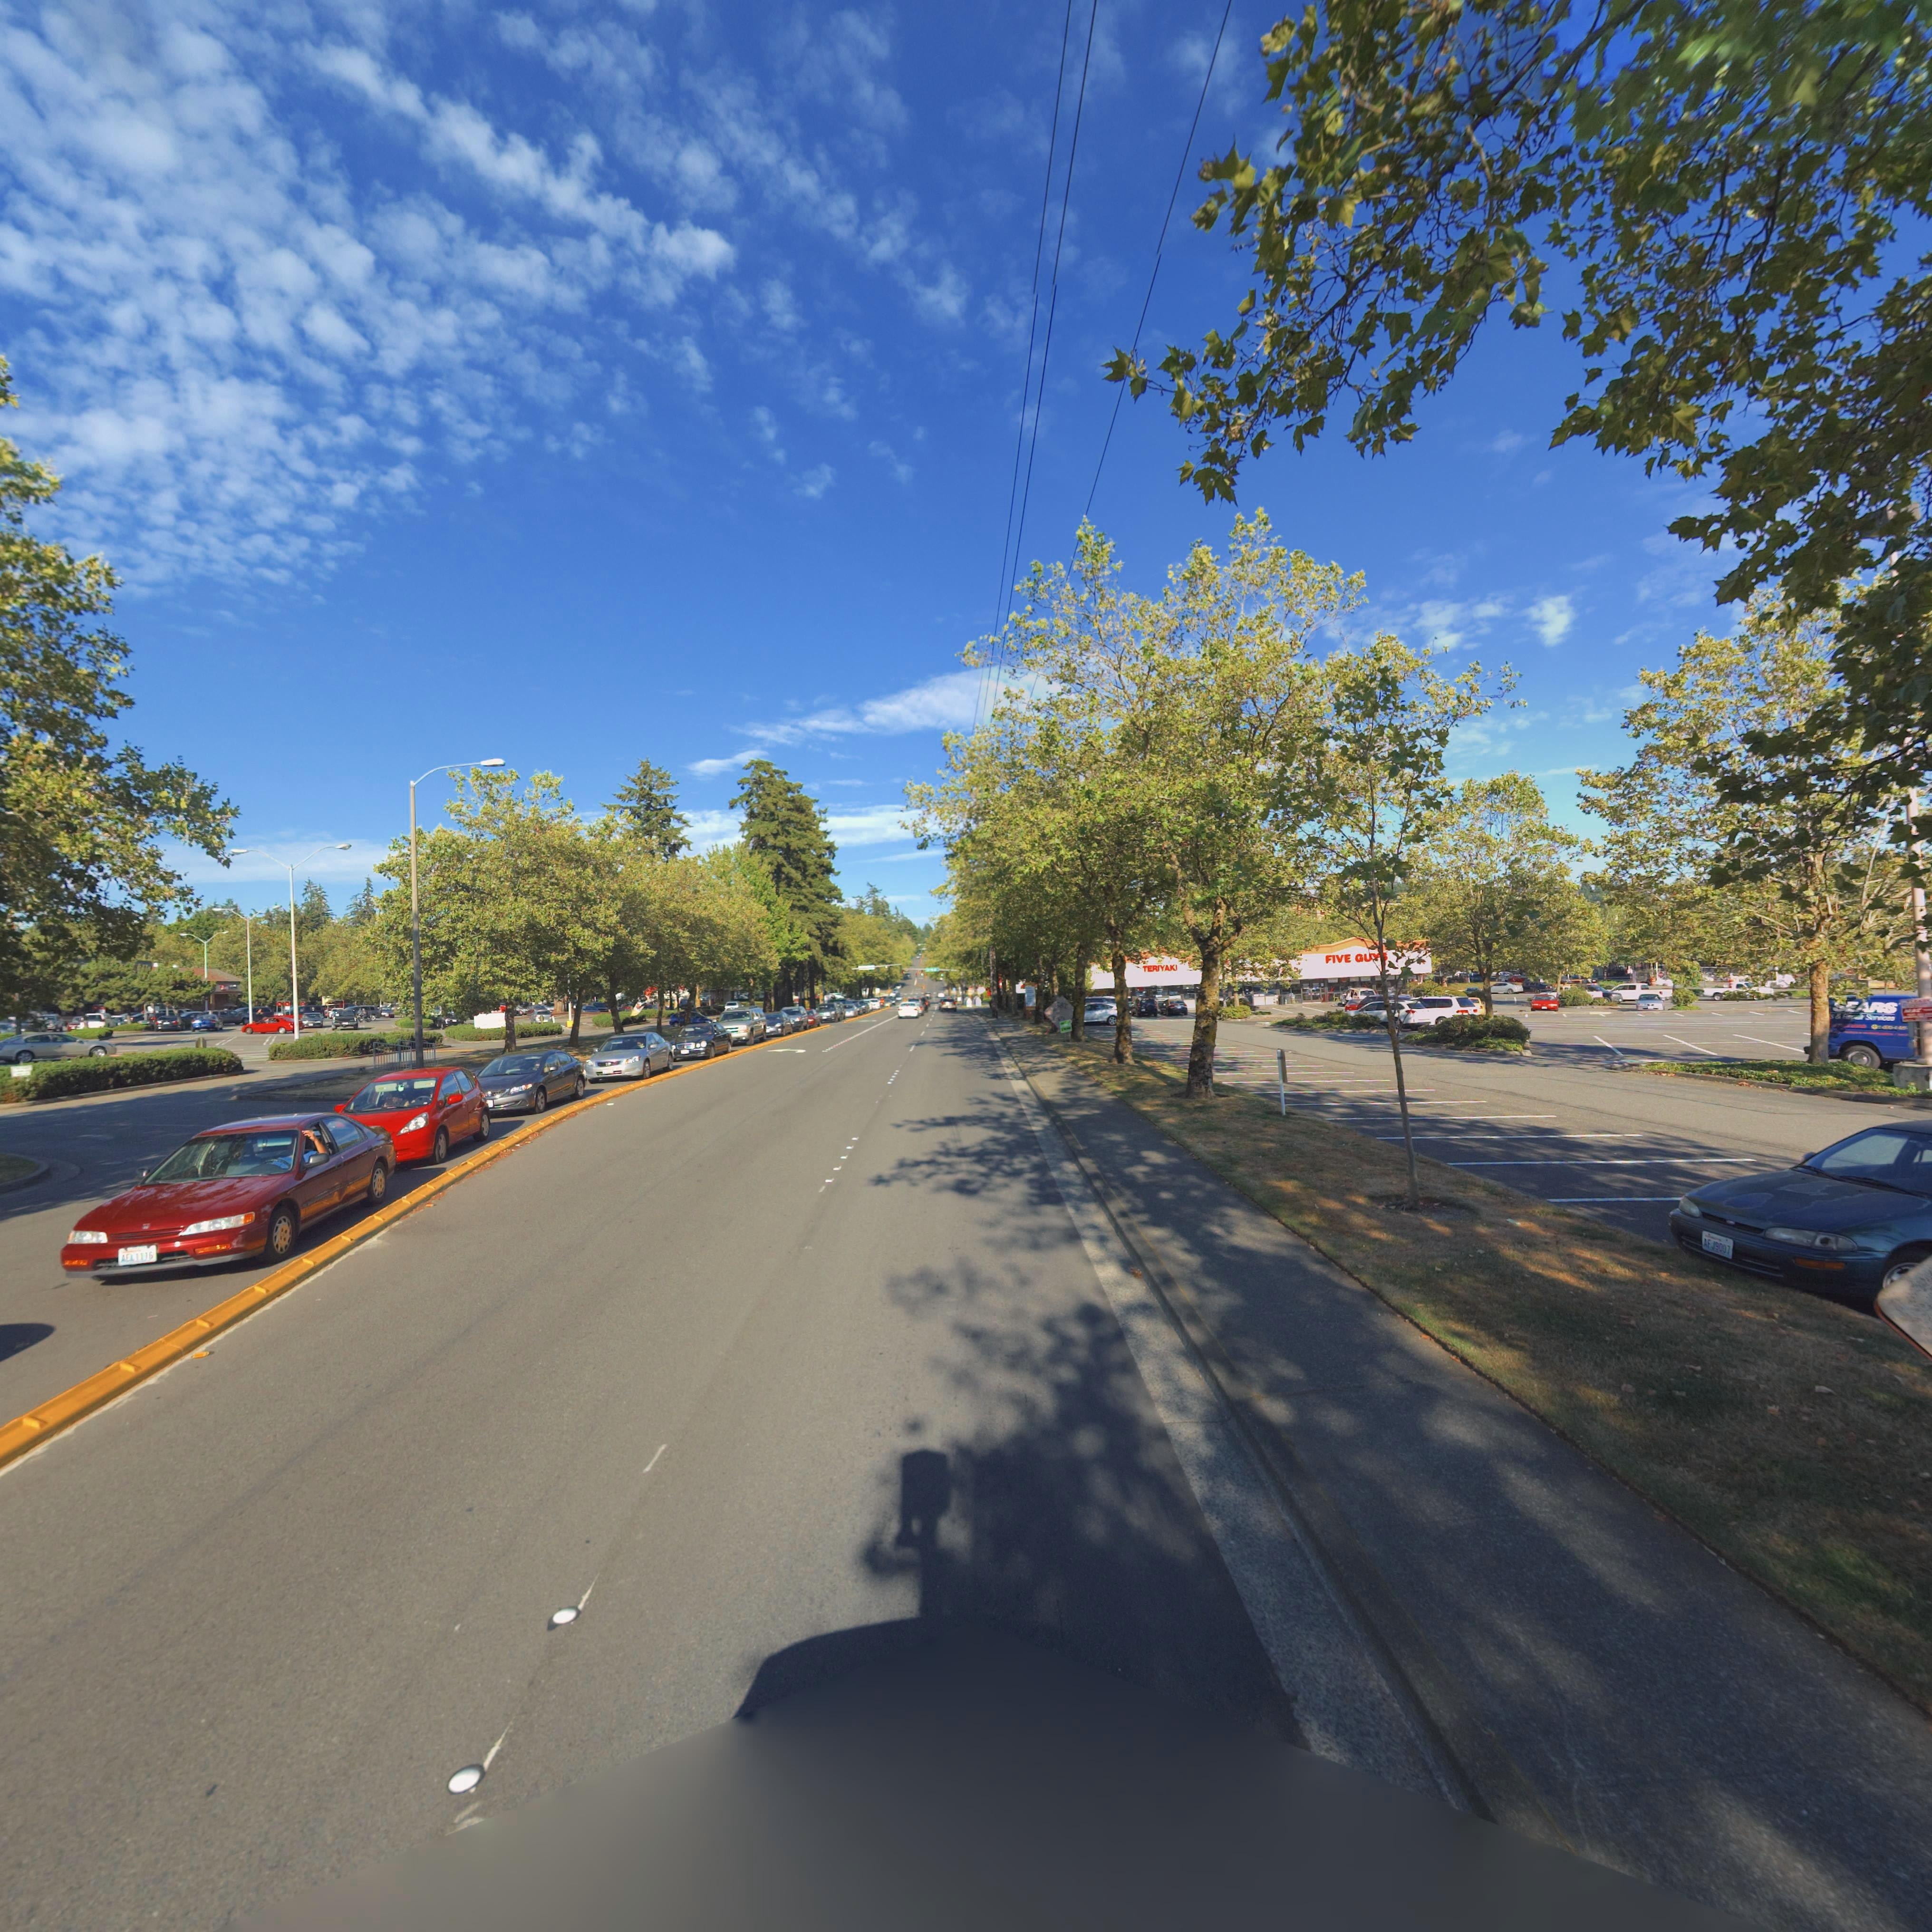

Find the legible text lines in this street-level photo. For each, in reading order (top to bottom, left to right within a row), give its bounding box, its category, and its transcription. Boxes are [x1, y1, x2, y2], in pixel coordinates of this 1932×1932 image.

[1325, 952, 1388, 964] BusinessName: FIVE GUYS
[1141, 964, 1178, 972] BusinessName: TERIYAKI